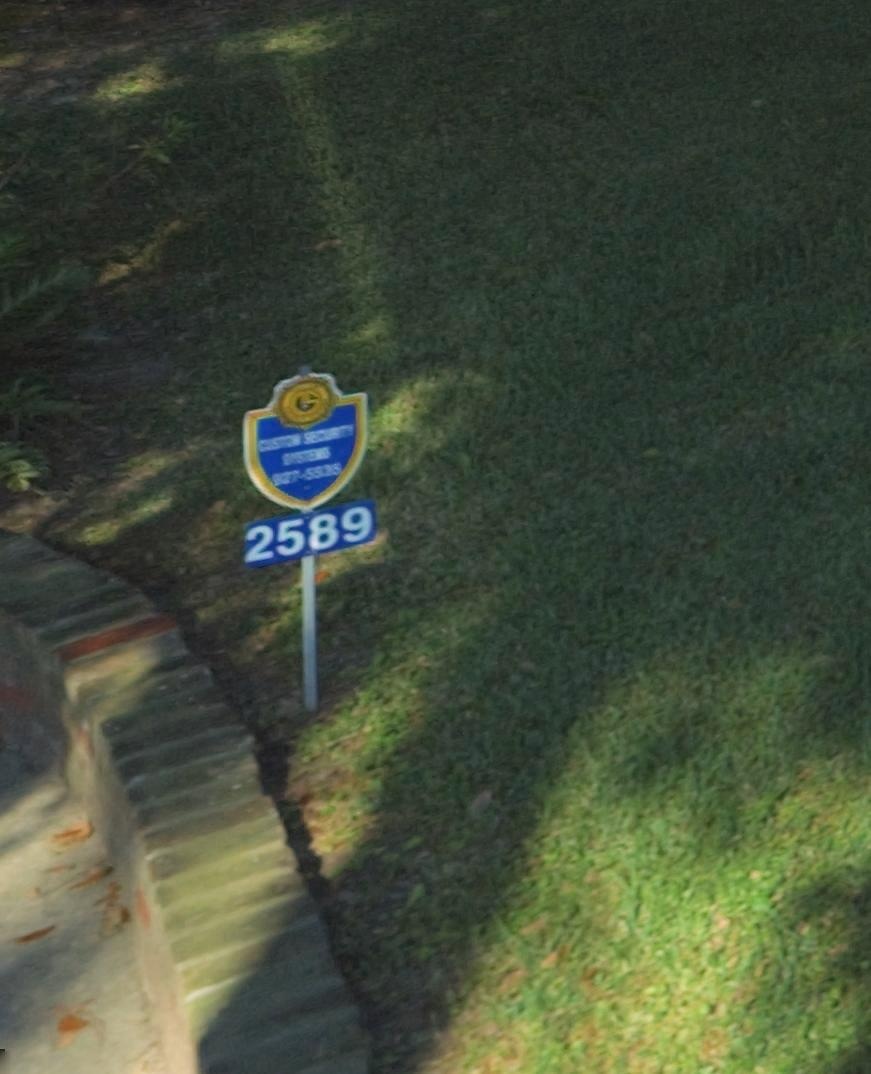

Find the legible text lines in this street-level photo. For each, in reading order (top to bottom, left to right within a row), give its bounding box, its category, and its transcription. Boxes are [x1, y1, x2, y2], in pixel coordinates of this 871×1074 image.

[254, 421, 357, 456] None: C*STO* SECURITY
[268, 459, 345, 489] None: 927-5**5
[242, 500, 376, 567] StreetNumber: 2589